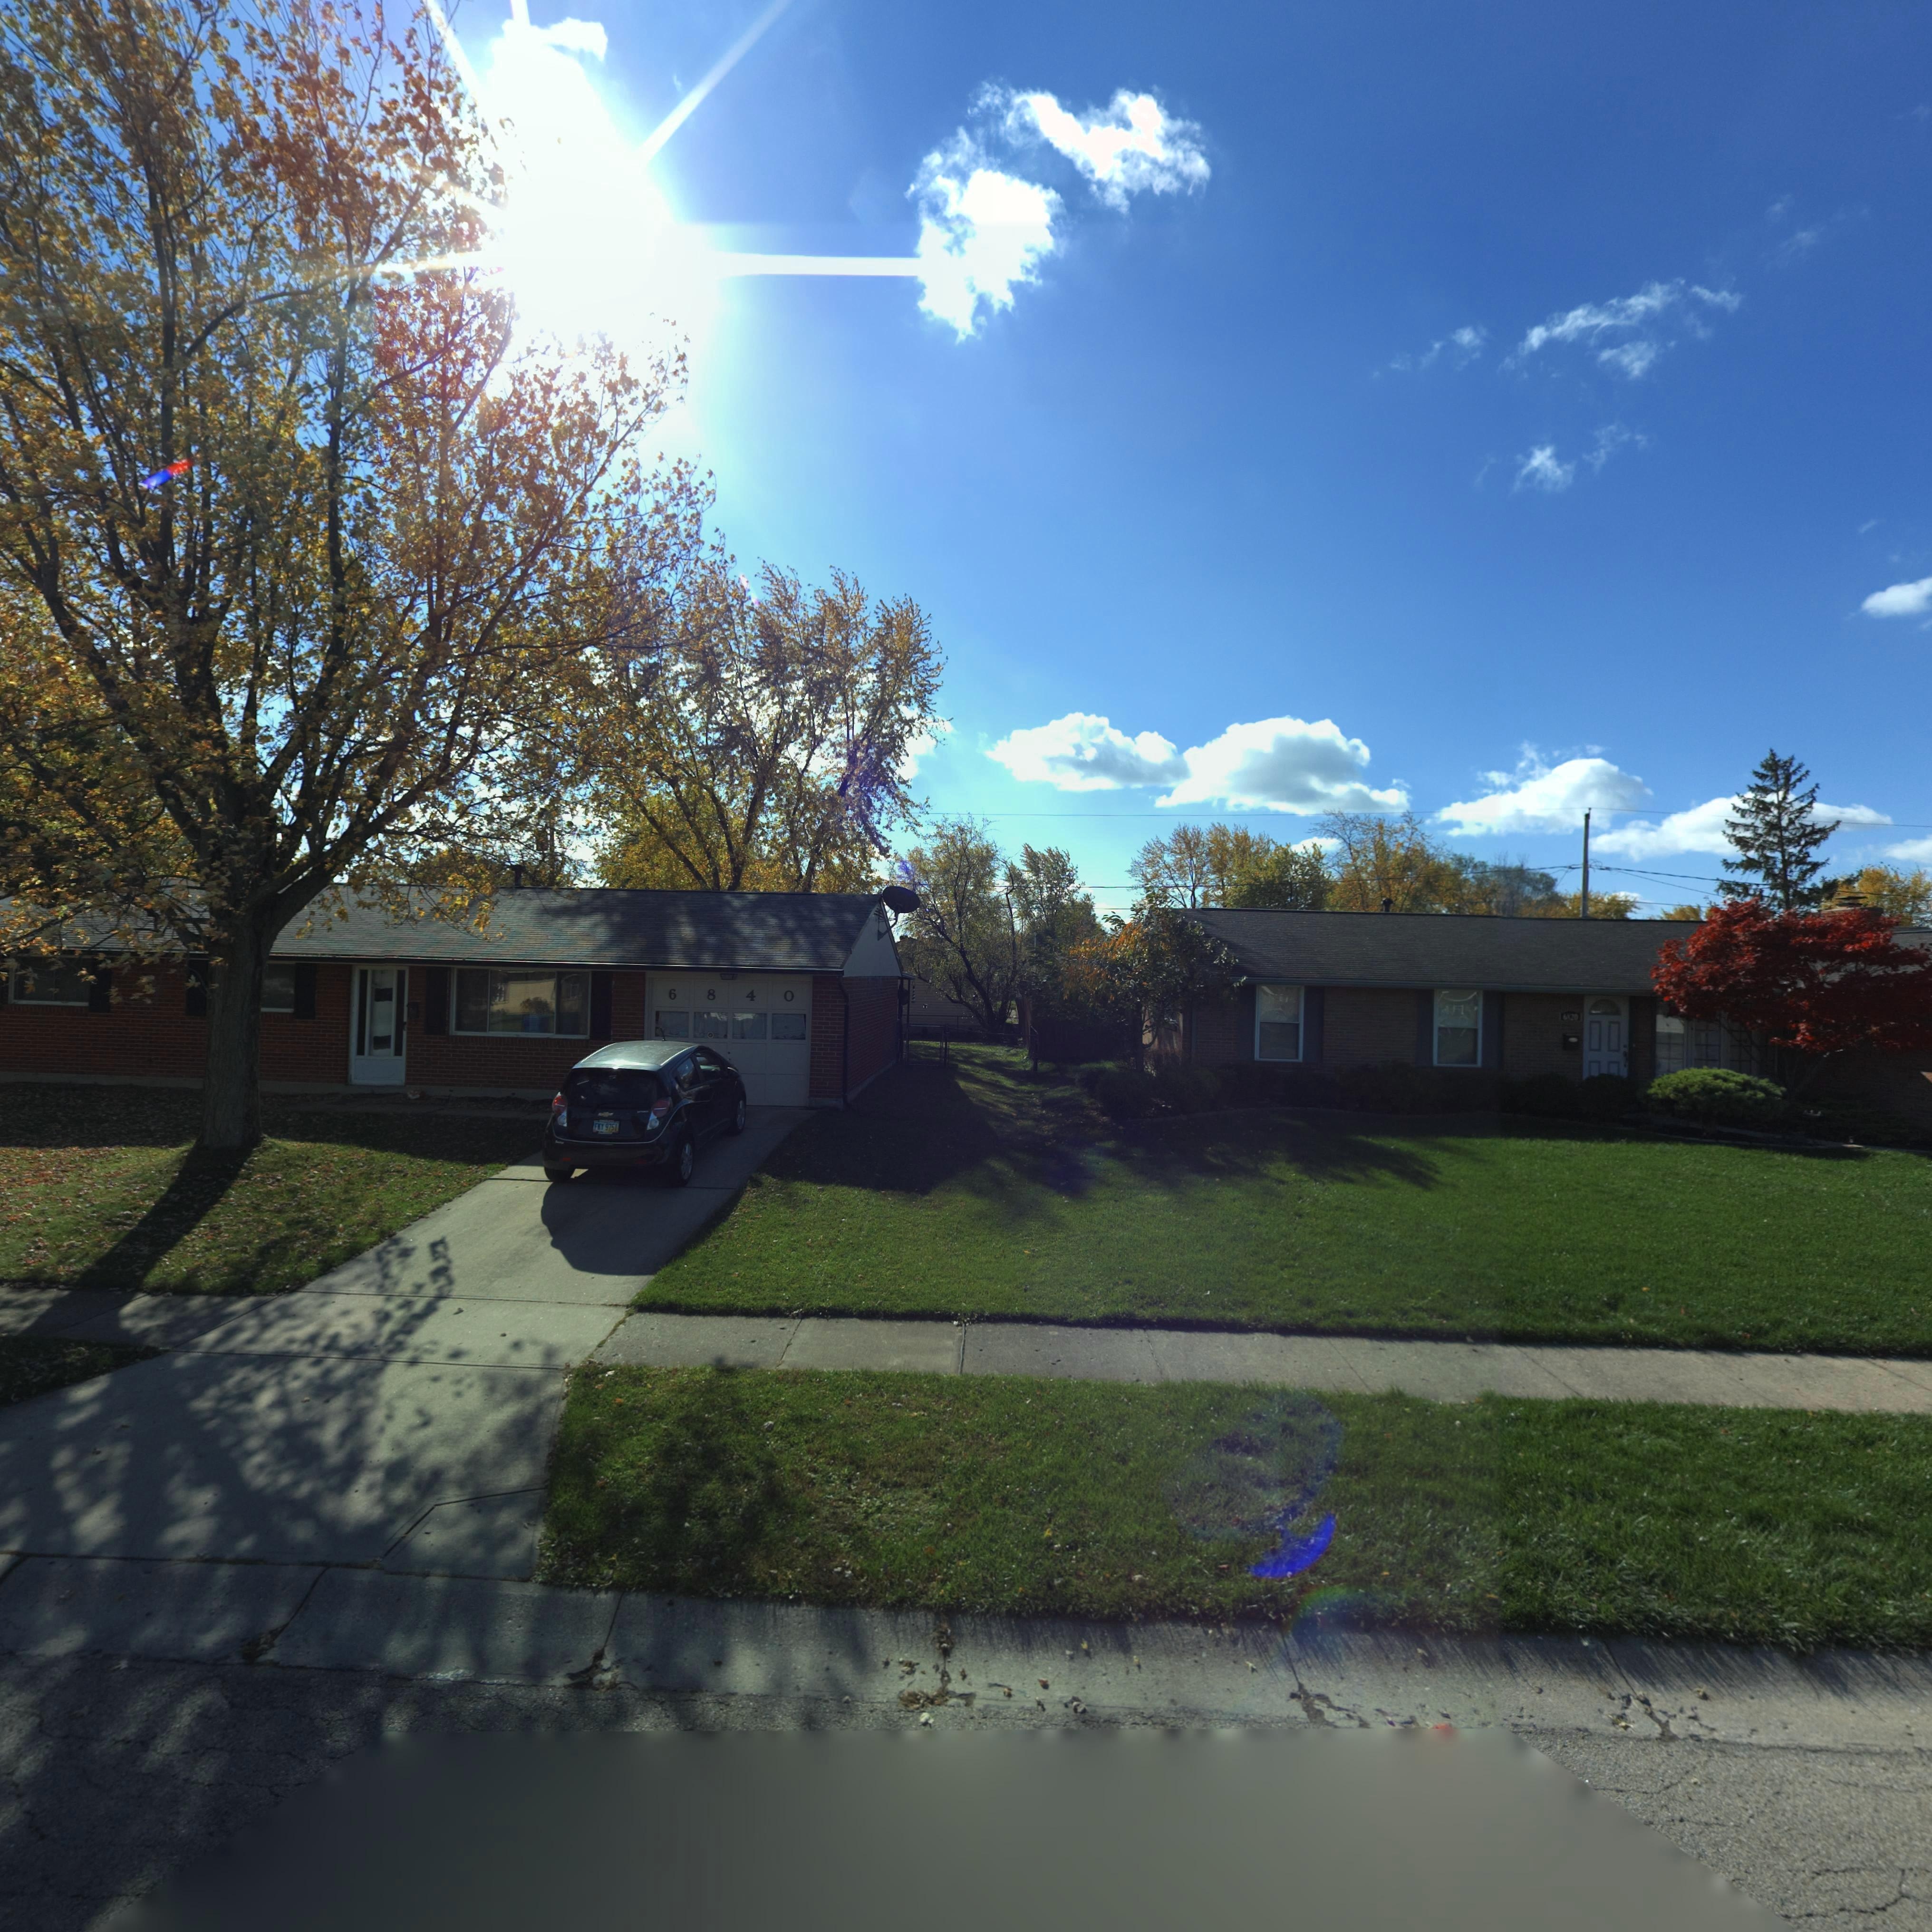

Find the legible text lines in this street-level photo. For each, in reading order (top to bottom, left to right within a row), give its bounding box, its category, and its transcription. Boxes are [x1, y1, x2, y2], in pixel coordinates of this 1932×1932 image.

[667, 987, 795, 1004] StreetNumber: 6*8*4*0
[1561, 1012, 1581, 1022] StreetNumber: 6**0